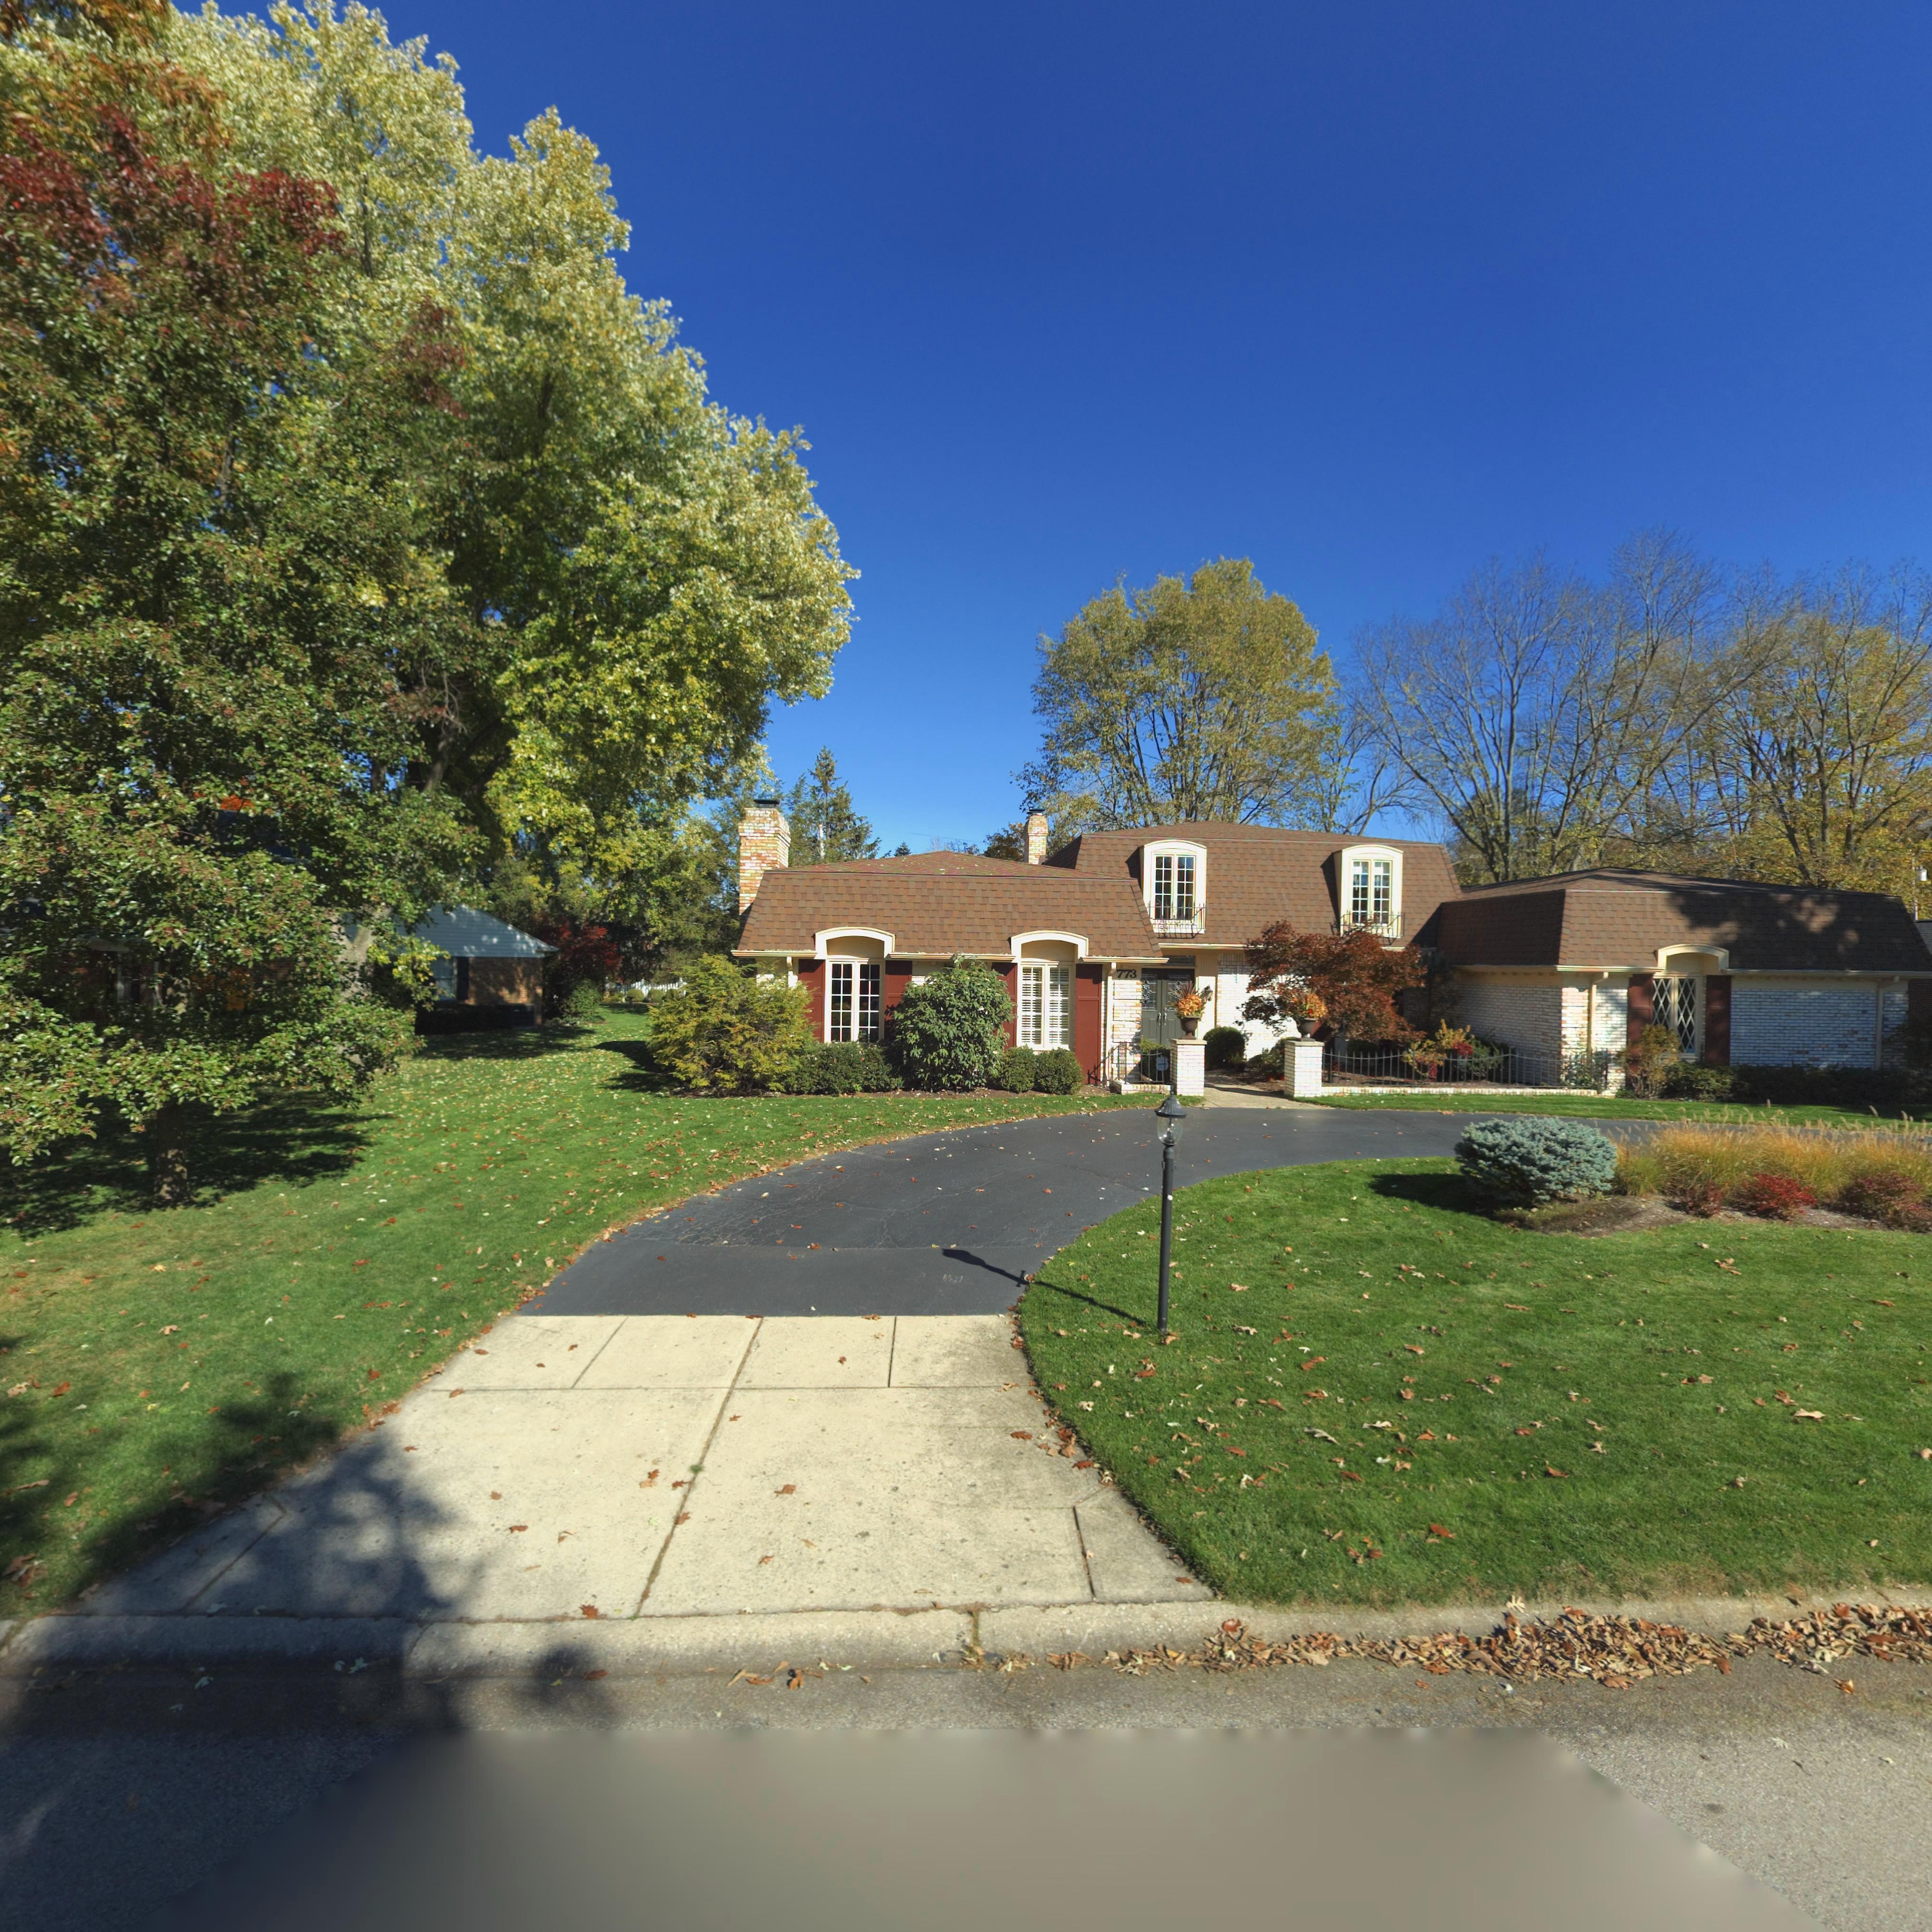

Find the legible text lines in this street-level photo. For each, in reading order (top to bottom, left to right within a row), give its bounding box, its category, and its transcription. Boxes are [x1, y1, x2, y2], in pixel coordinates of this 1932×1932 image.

[1116, 969, 1137, 979] StreetNumber: 773